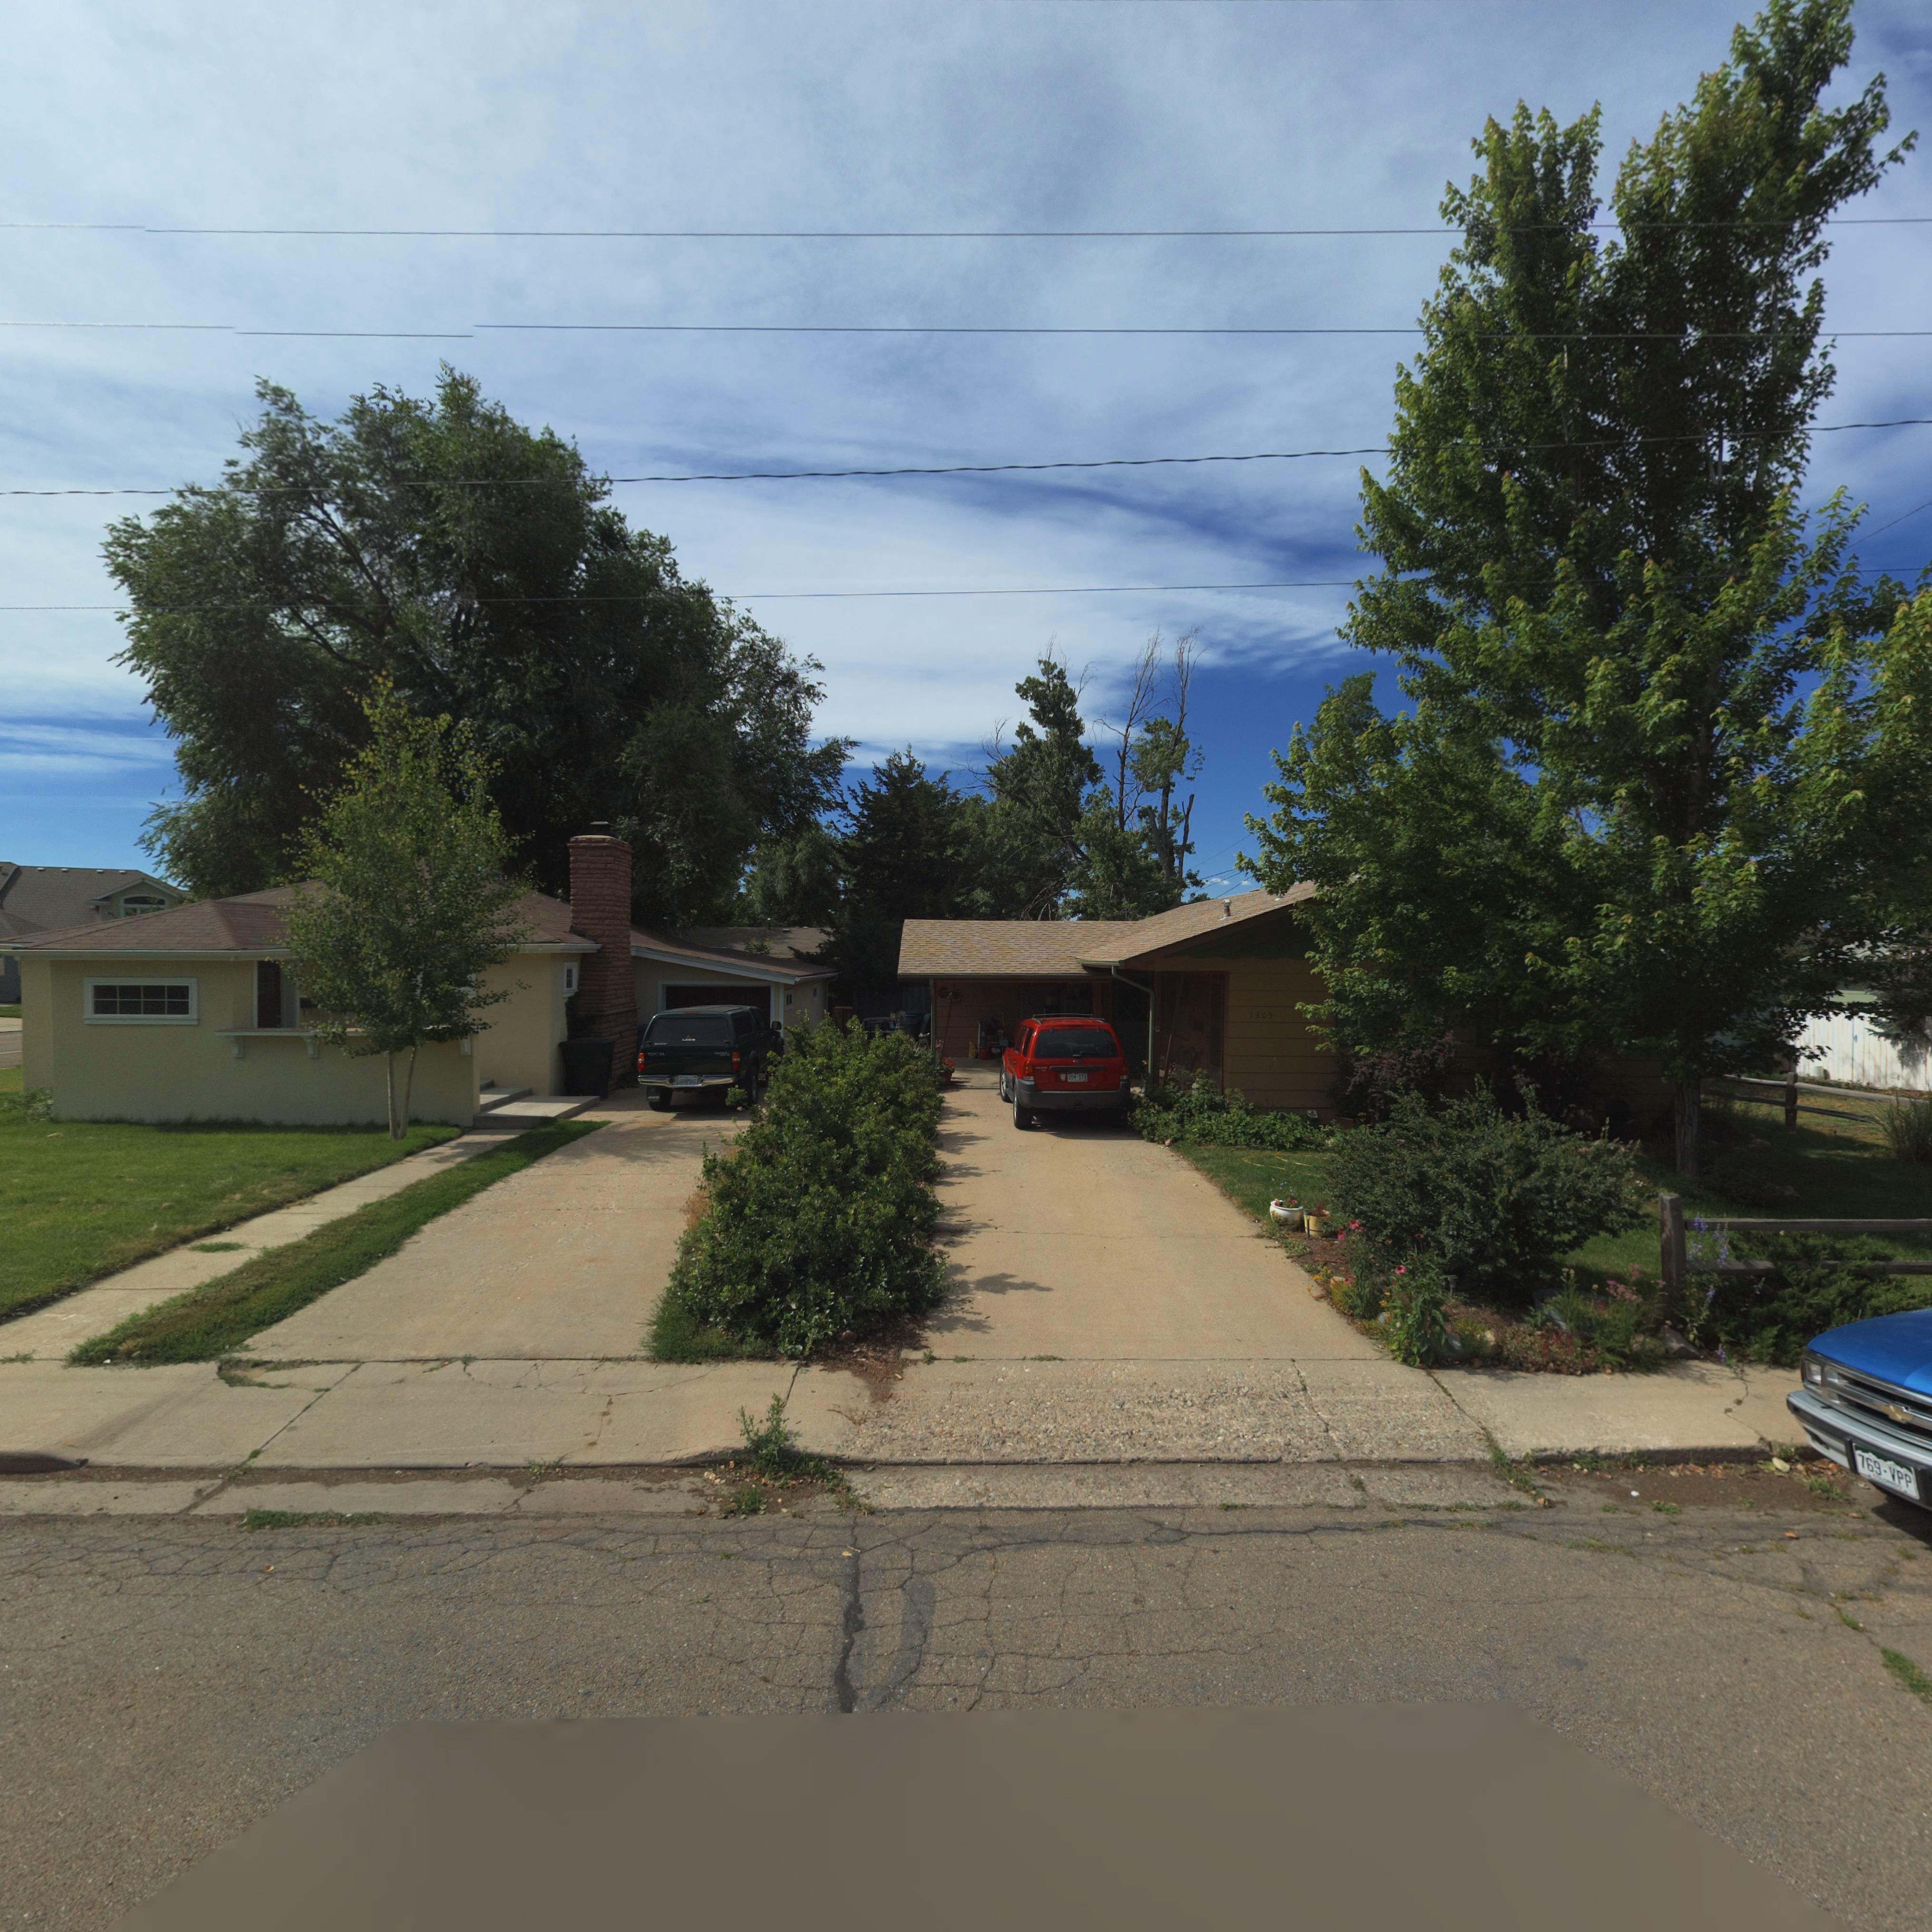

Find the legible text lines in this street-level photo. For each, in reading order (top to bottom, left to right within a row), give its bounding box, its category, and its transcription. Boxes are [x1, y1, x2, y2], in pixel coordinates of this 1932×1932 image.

[1250, 1011, 1273, 1019] StreetNumber: 1309